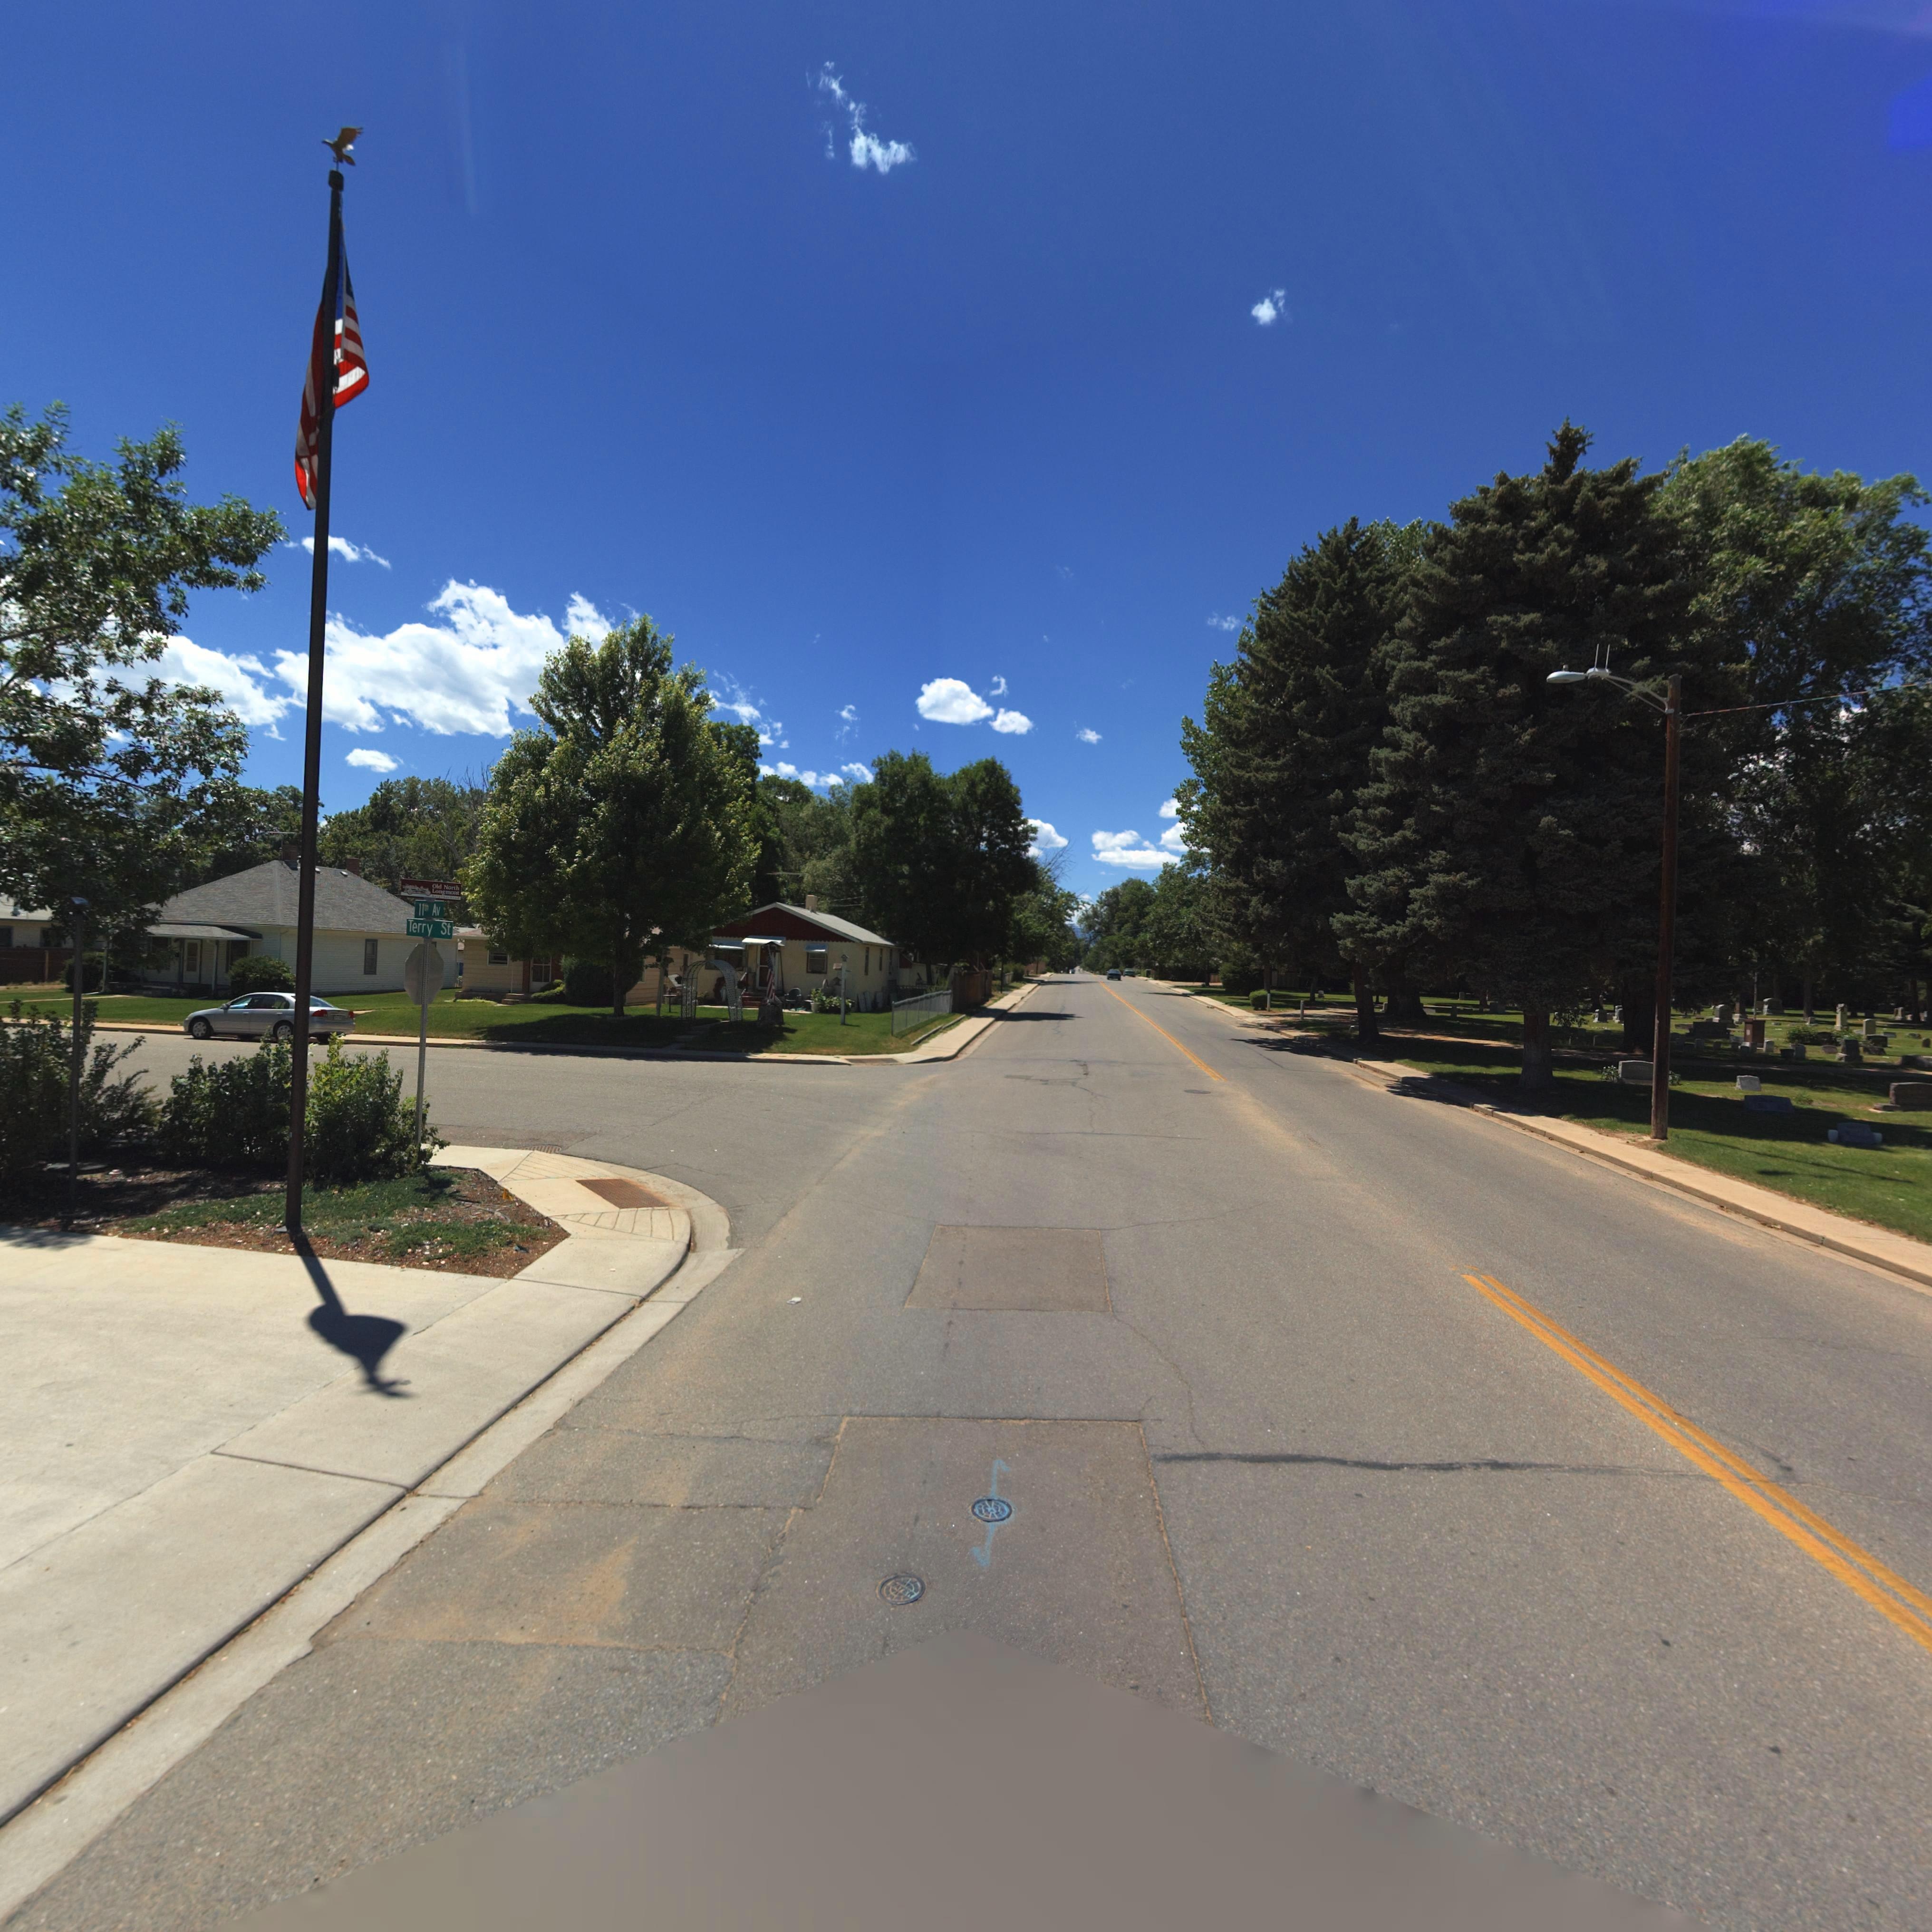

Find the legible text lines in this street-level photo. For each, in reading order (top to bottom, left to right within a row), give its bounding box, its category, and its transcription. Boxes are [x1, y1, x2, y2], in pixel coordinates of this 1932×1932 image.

[418, 902, 441, 916] StreetName: 11th Av
[407, 919, 451, 937] StreetName: Terry St